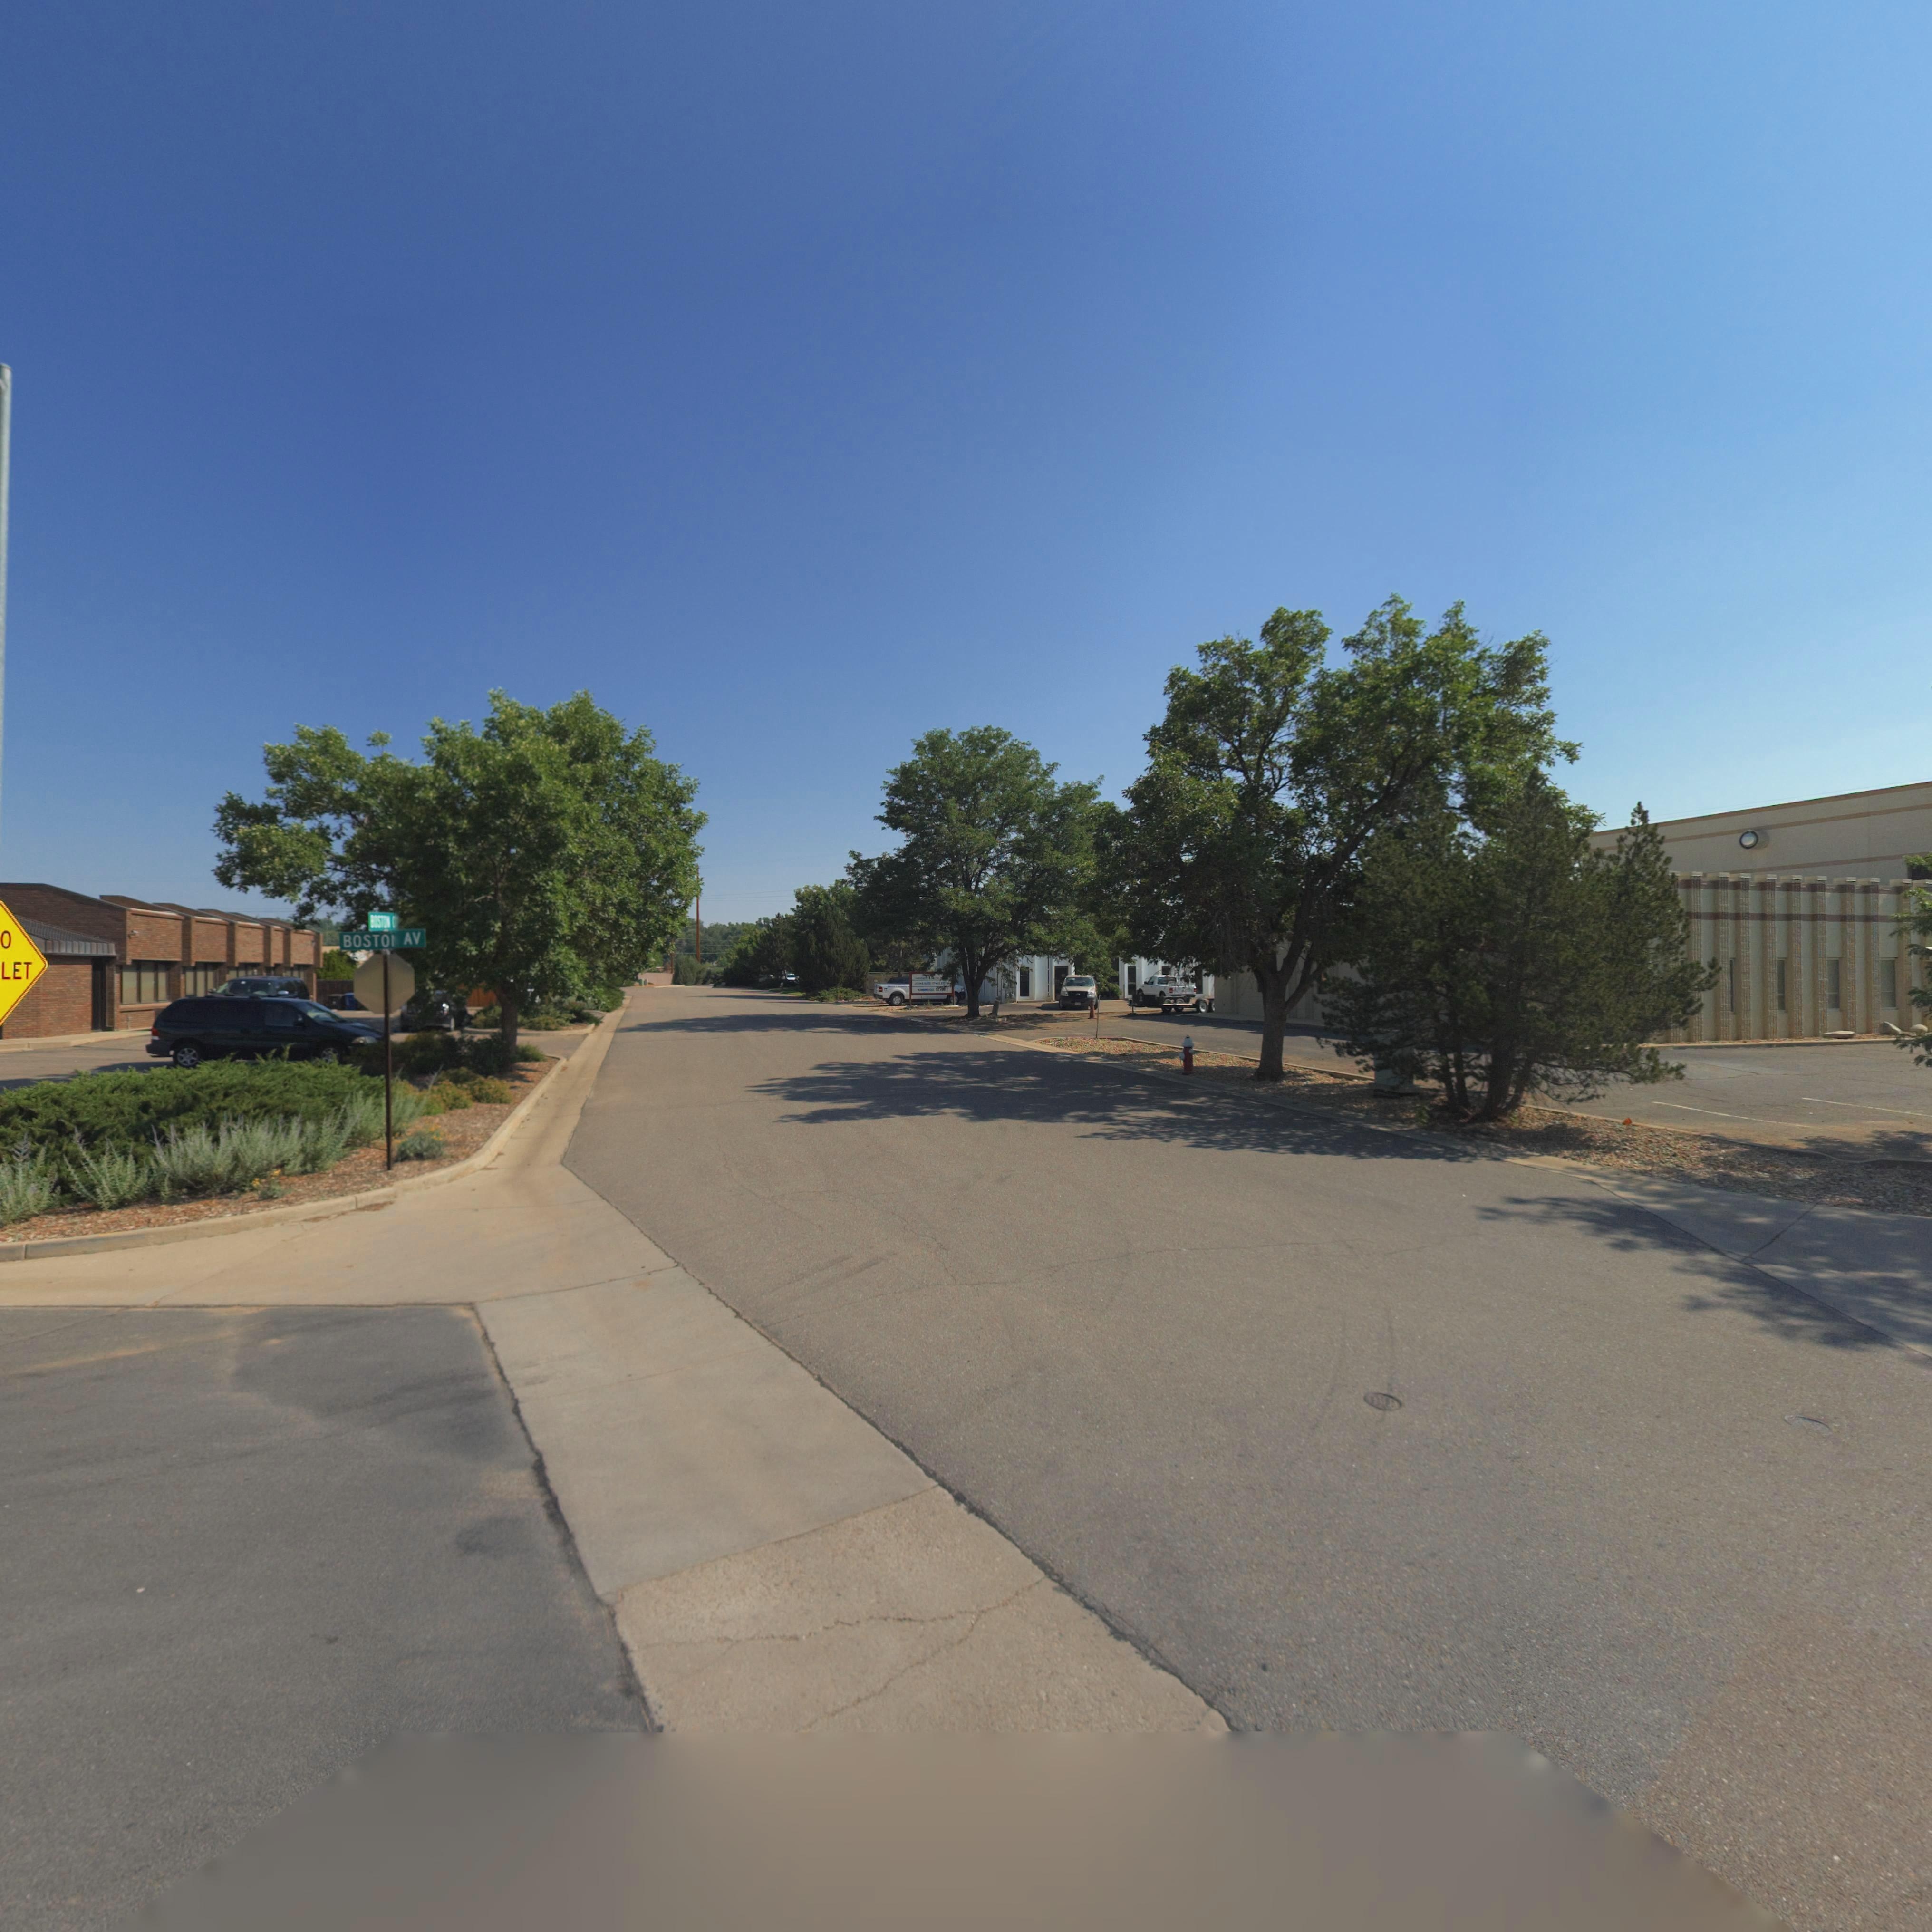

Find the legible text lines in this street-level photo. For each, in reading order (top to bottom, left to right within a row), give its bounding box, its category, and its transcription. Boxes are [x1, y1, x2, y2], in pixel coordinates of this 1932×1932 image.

[369, 914, 399, 929] StreetName: B*ST** **
[342, 930, 422, 948] StreetName: BOSTO* AV